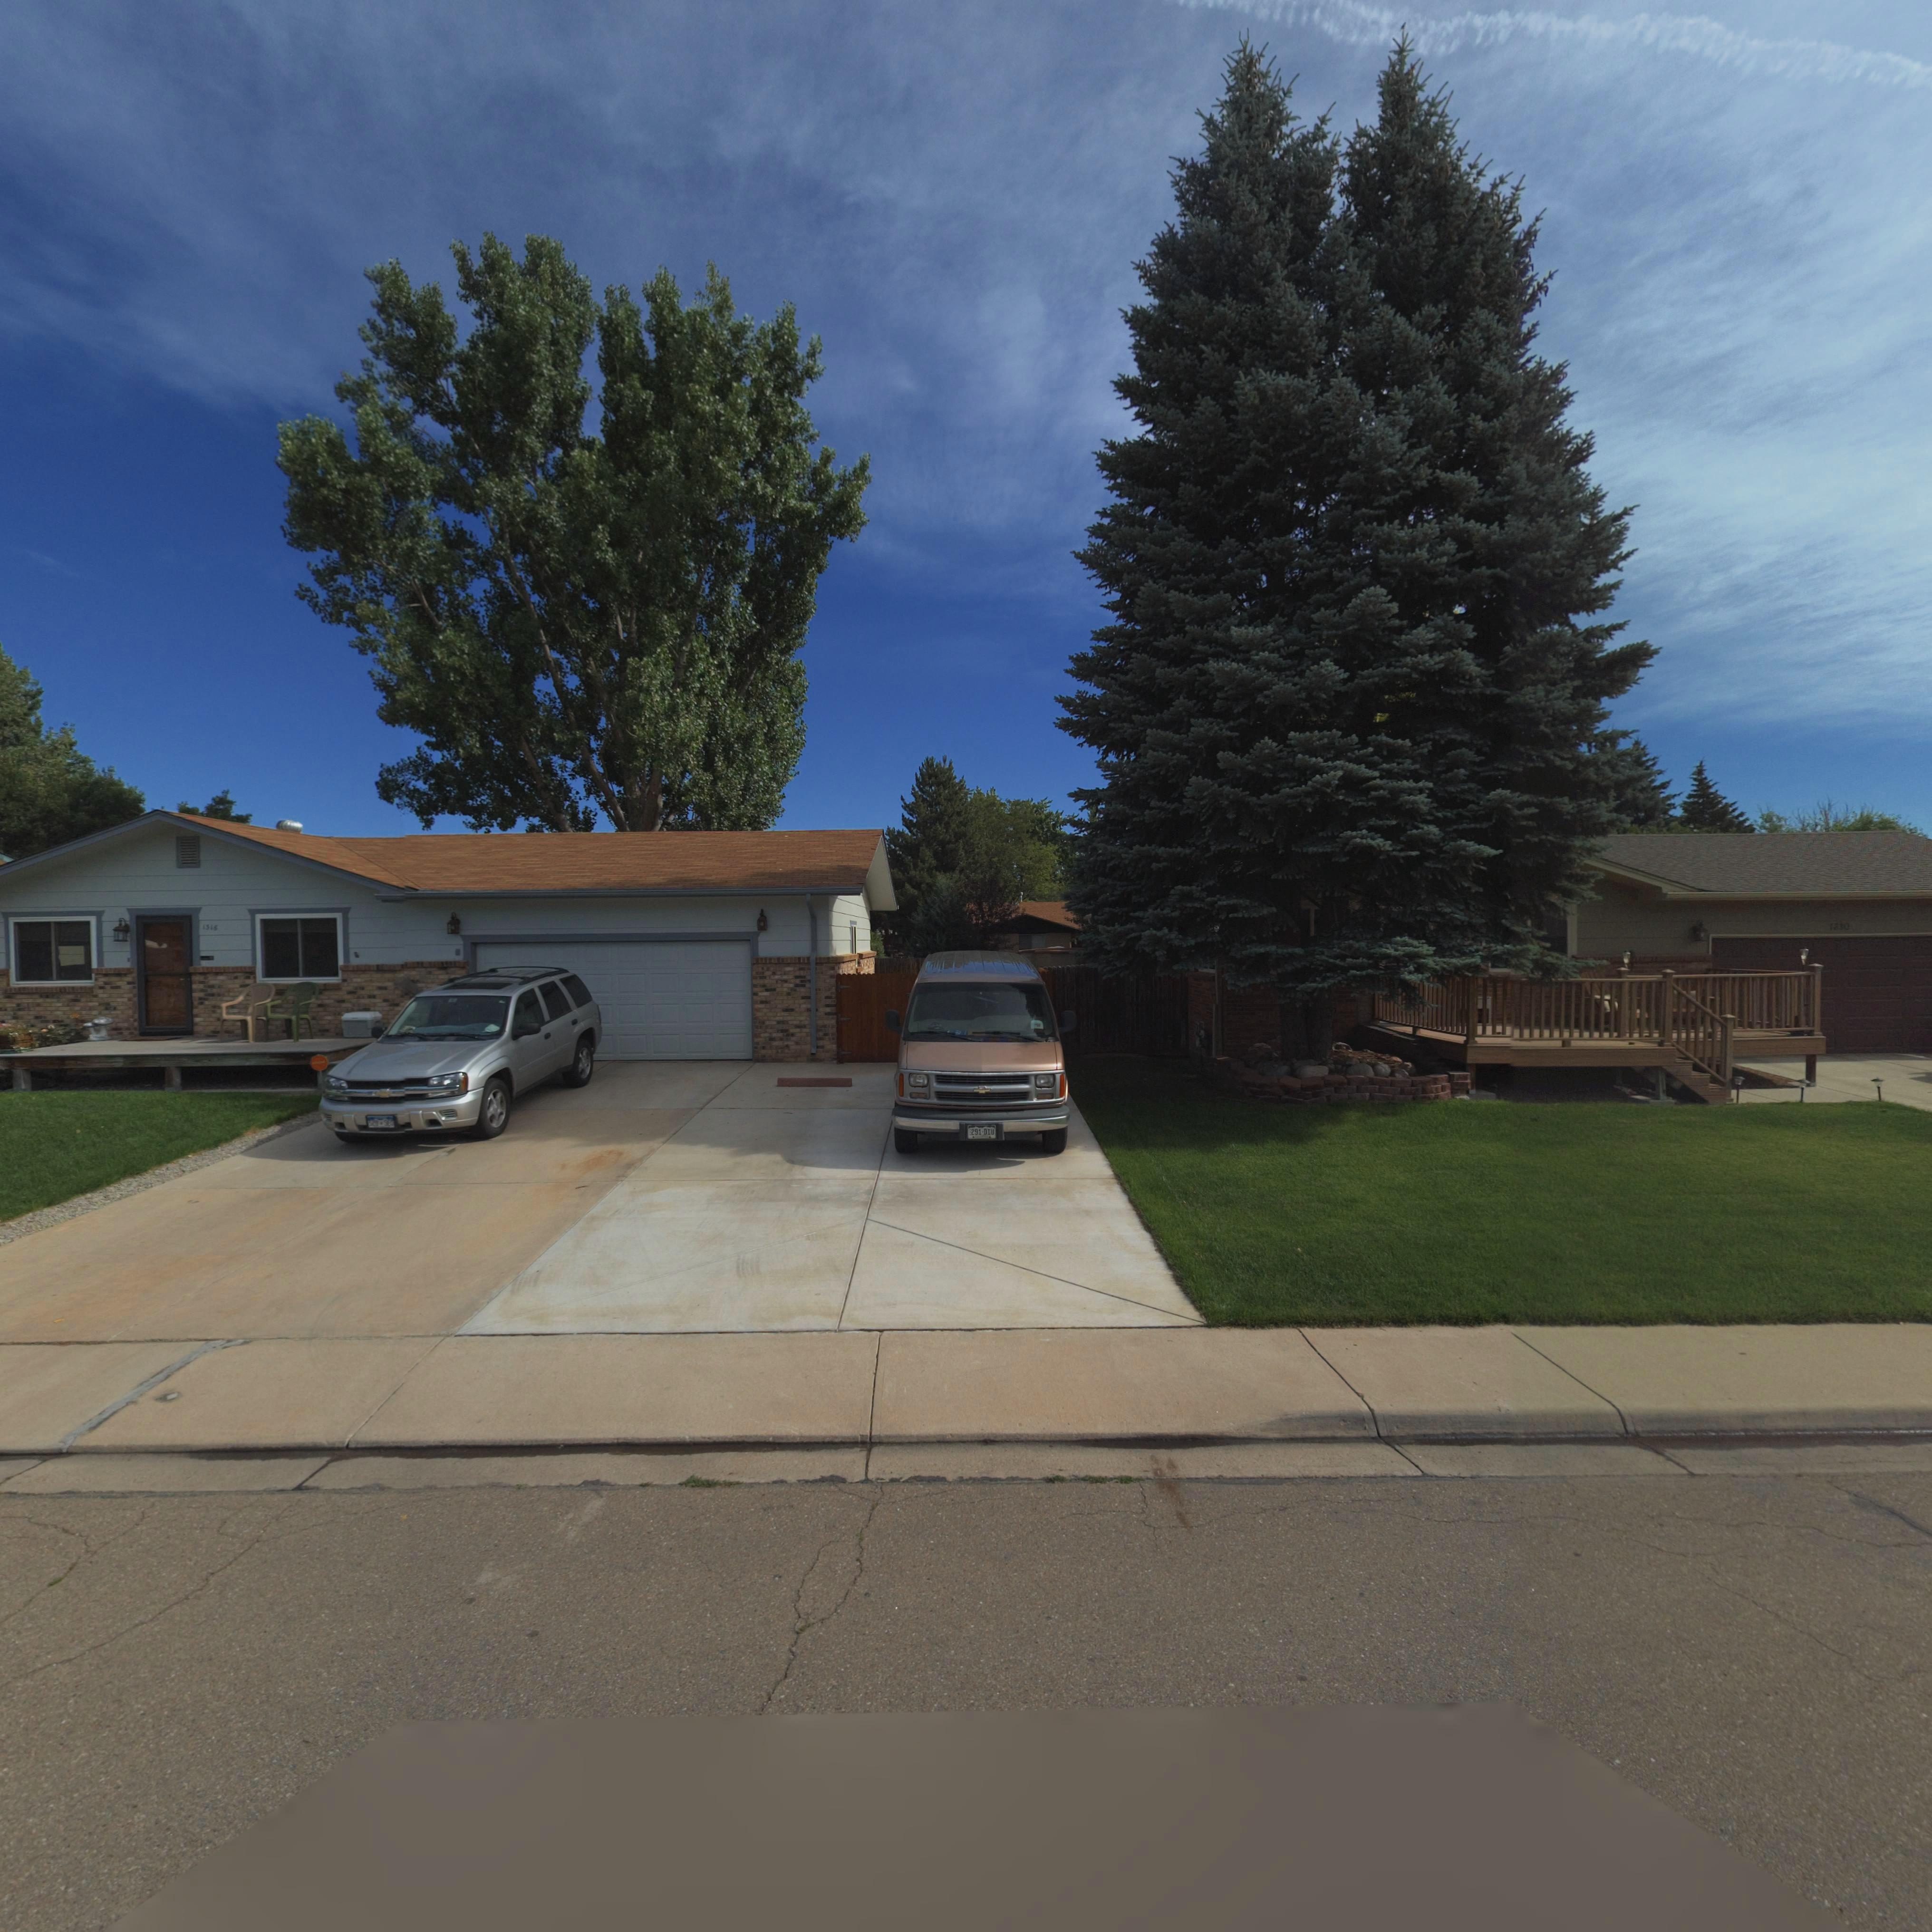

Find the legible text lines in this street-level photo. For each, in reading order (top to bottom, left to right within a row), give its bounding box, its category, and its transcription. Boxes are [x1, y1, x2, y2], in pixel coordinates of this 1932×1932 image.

[202, 924, 218, 931] StreetNumber: 1316
[1829, 922, 1850, 930] StreetNumber: 1310